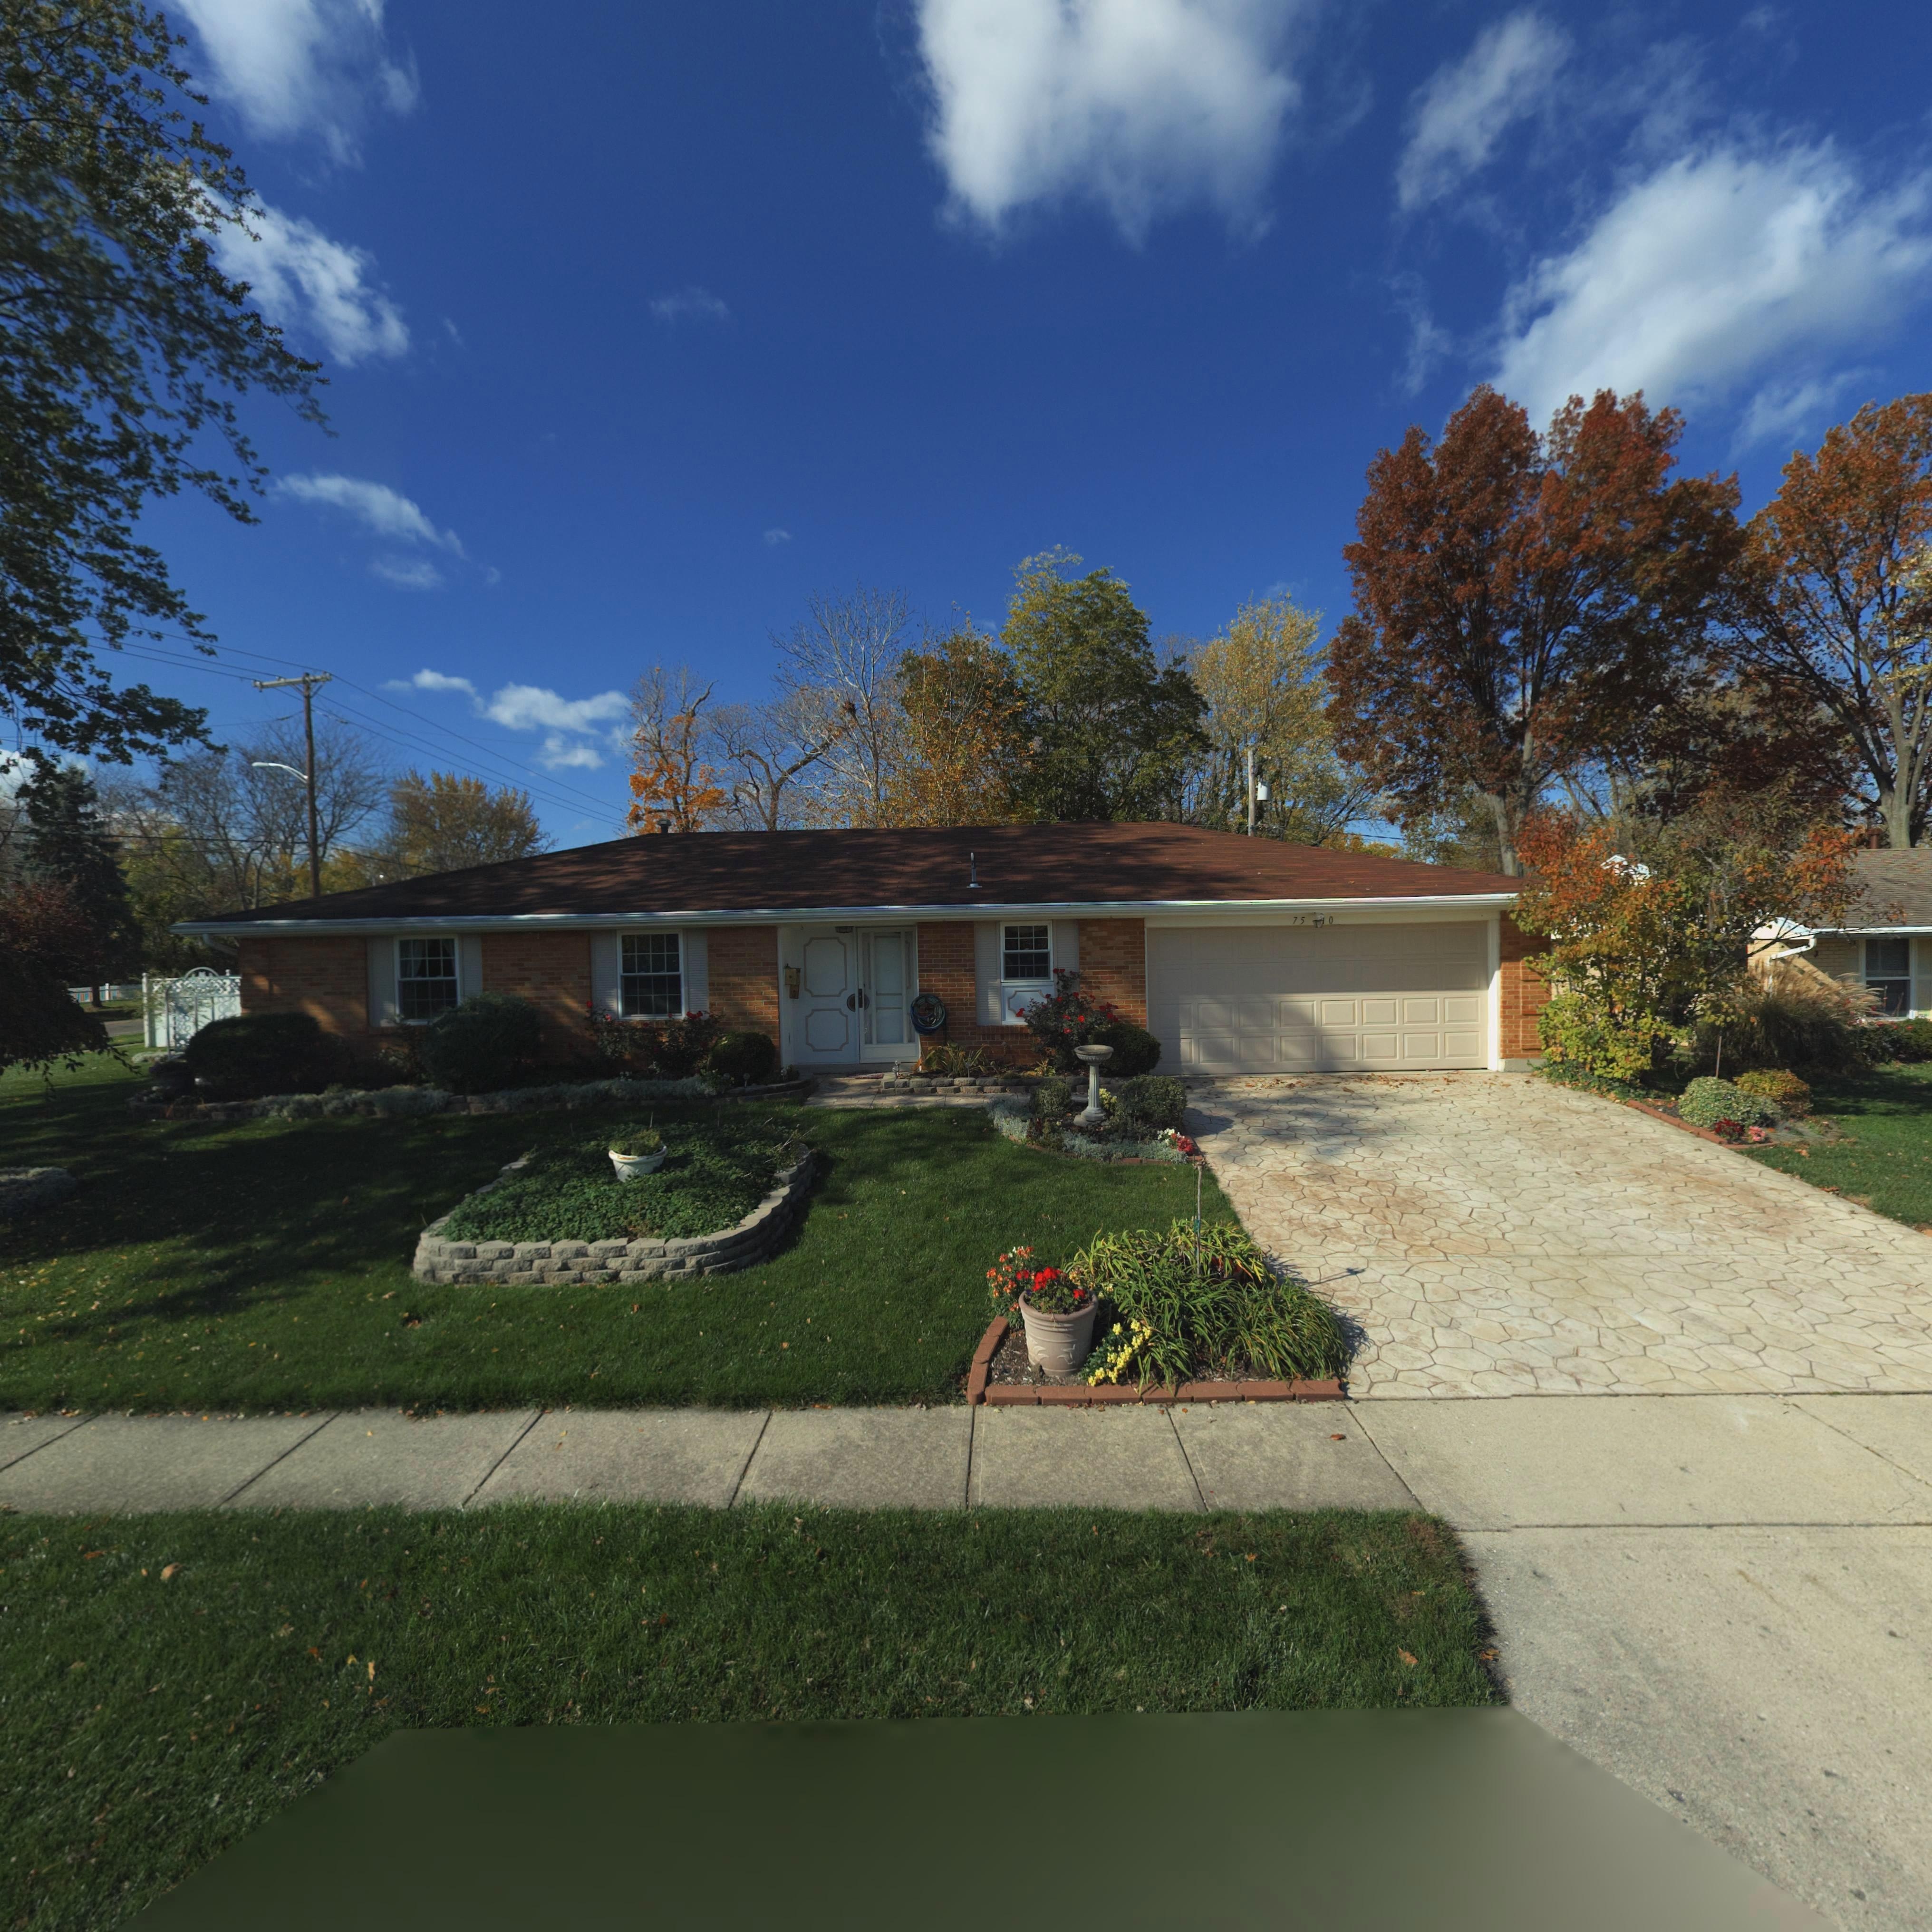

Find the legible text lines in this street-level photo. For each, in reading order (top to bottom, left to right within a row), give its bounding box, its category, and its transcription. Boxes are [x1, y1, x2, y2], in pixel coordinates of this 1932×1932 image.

[1291, 915, 1335, 926] StreetNumber: 75**0